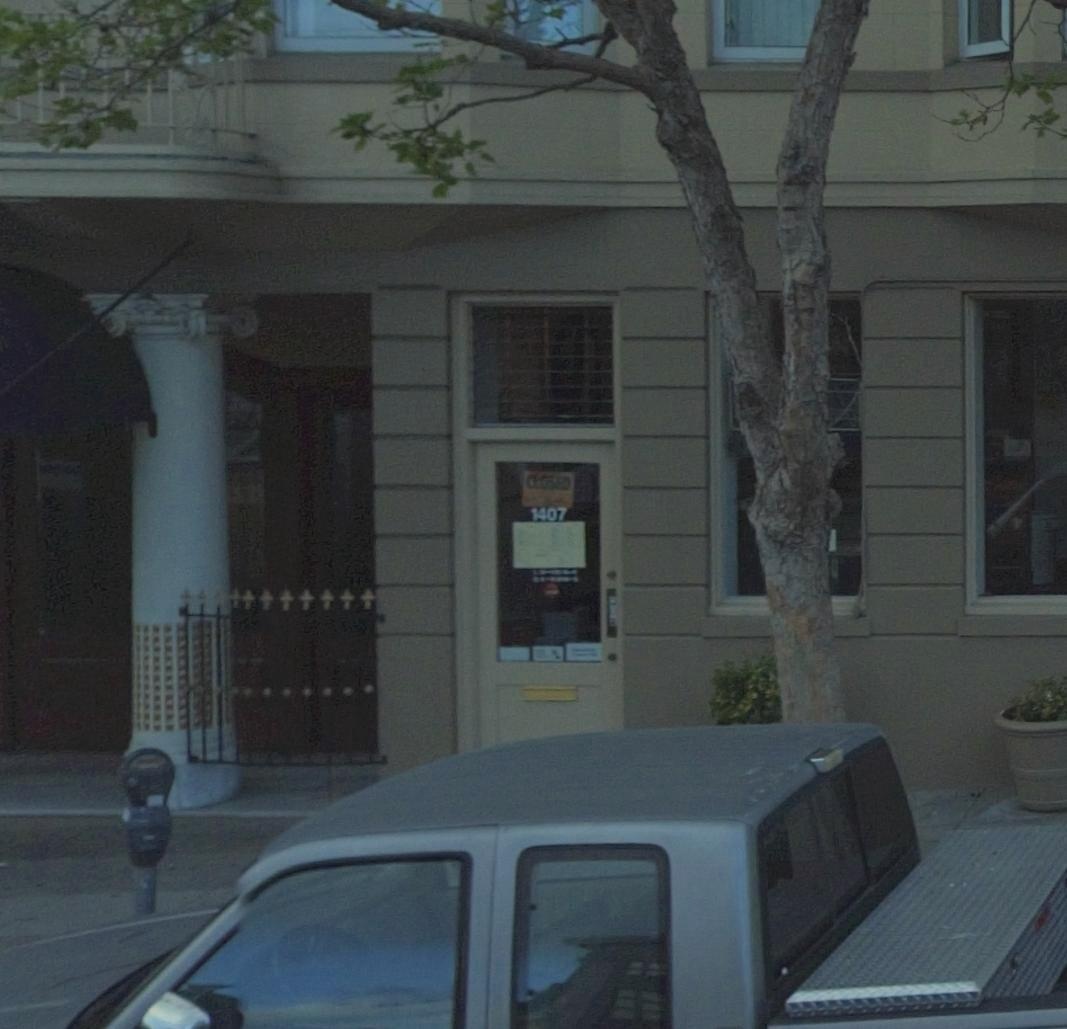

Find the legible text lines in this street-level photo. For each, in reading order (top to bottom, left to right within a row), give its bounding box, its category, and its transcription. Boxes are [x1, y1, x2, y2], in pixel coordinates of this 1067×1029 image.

[528, 505, 569, 524] StreetNumber: 1407